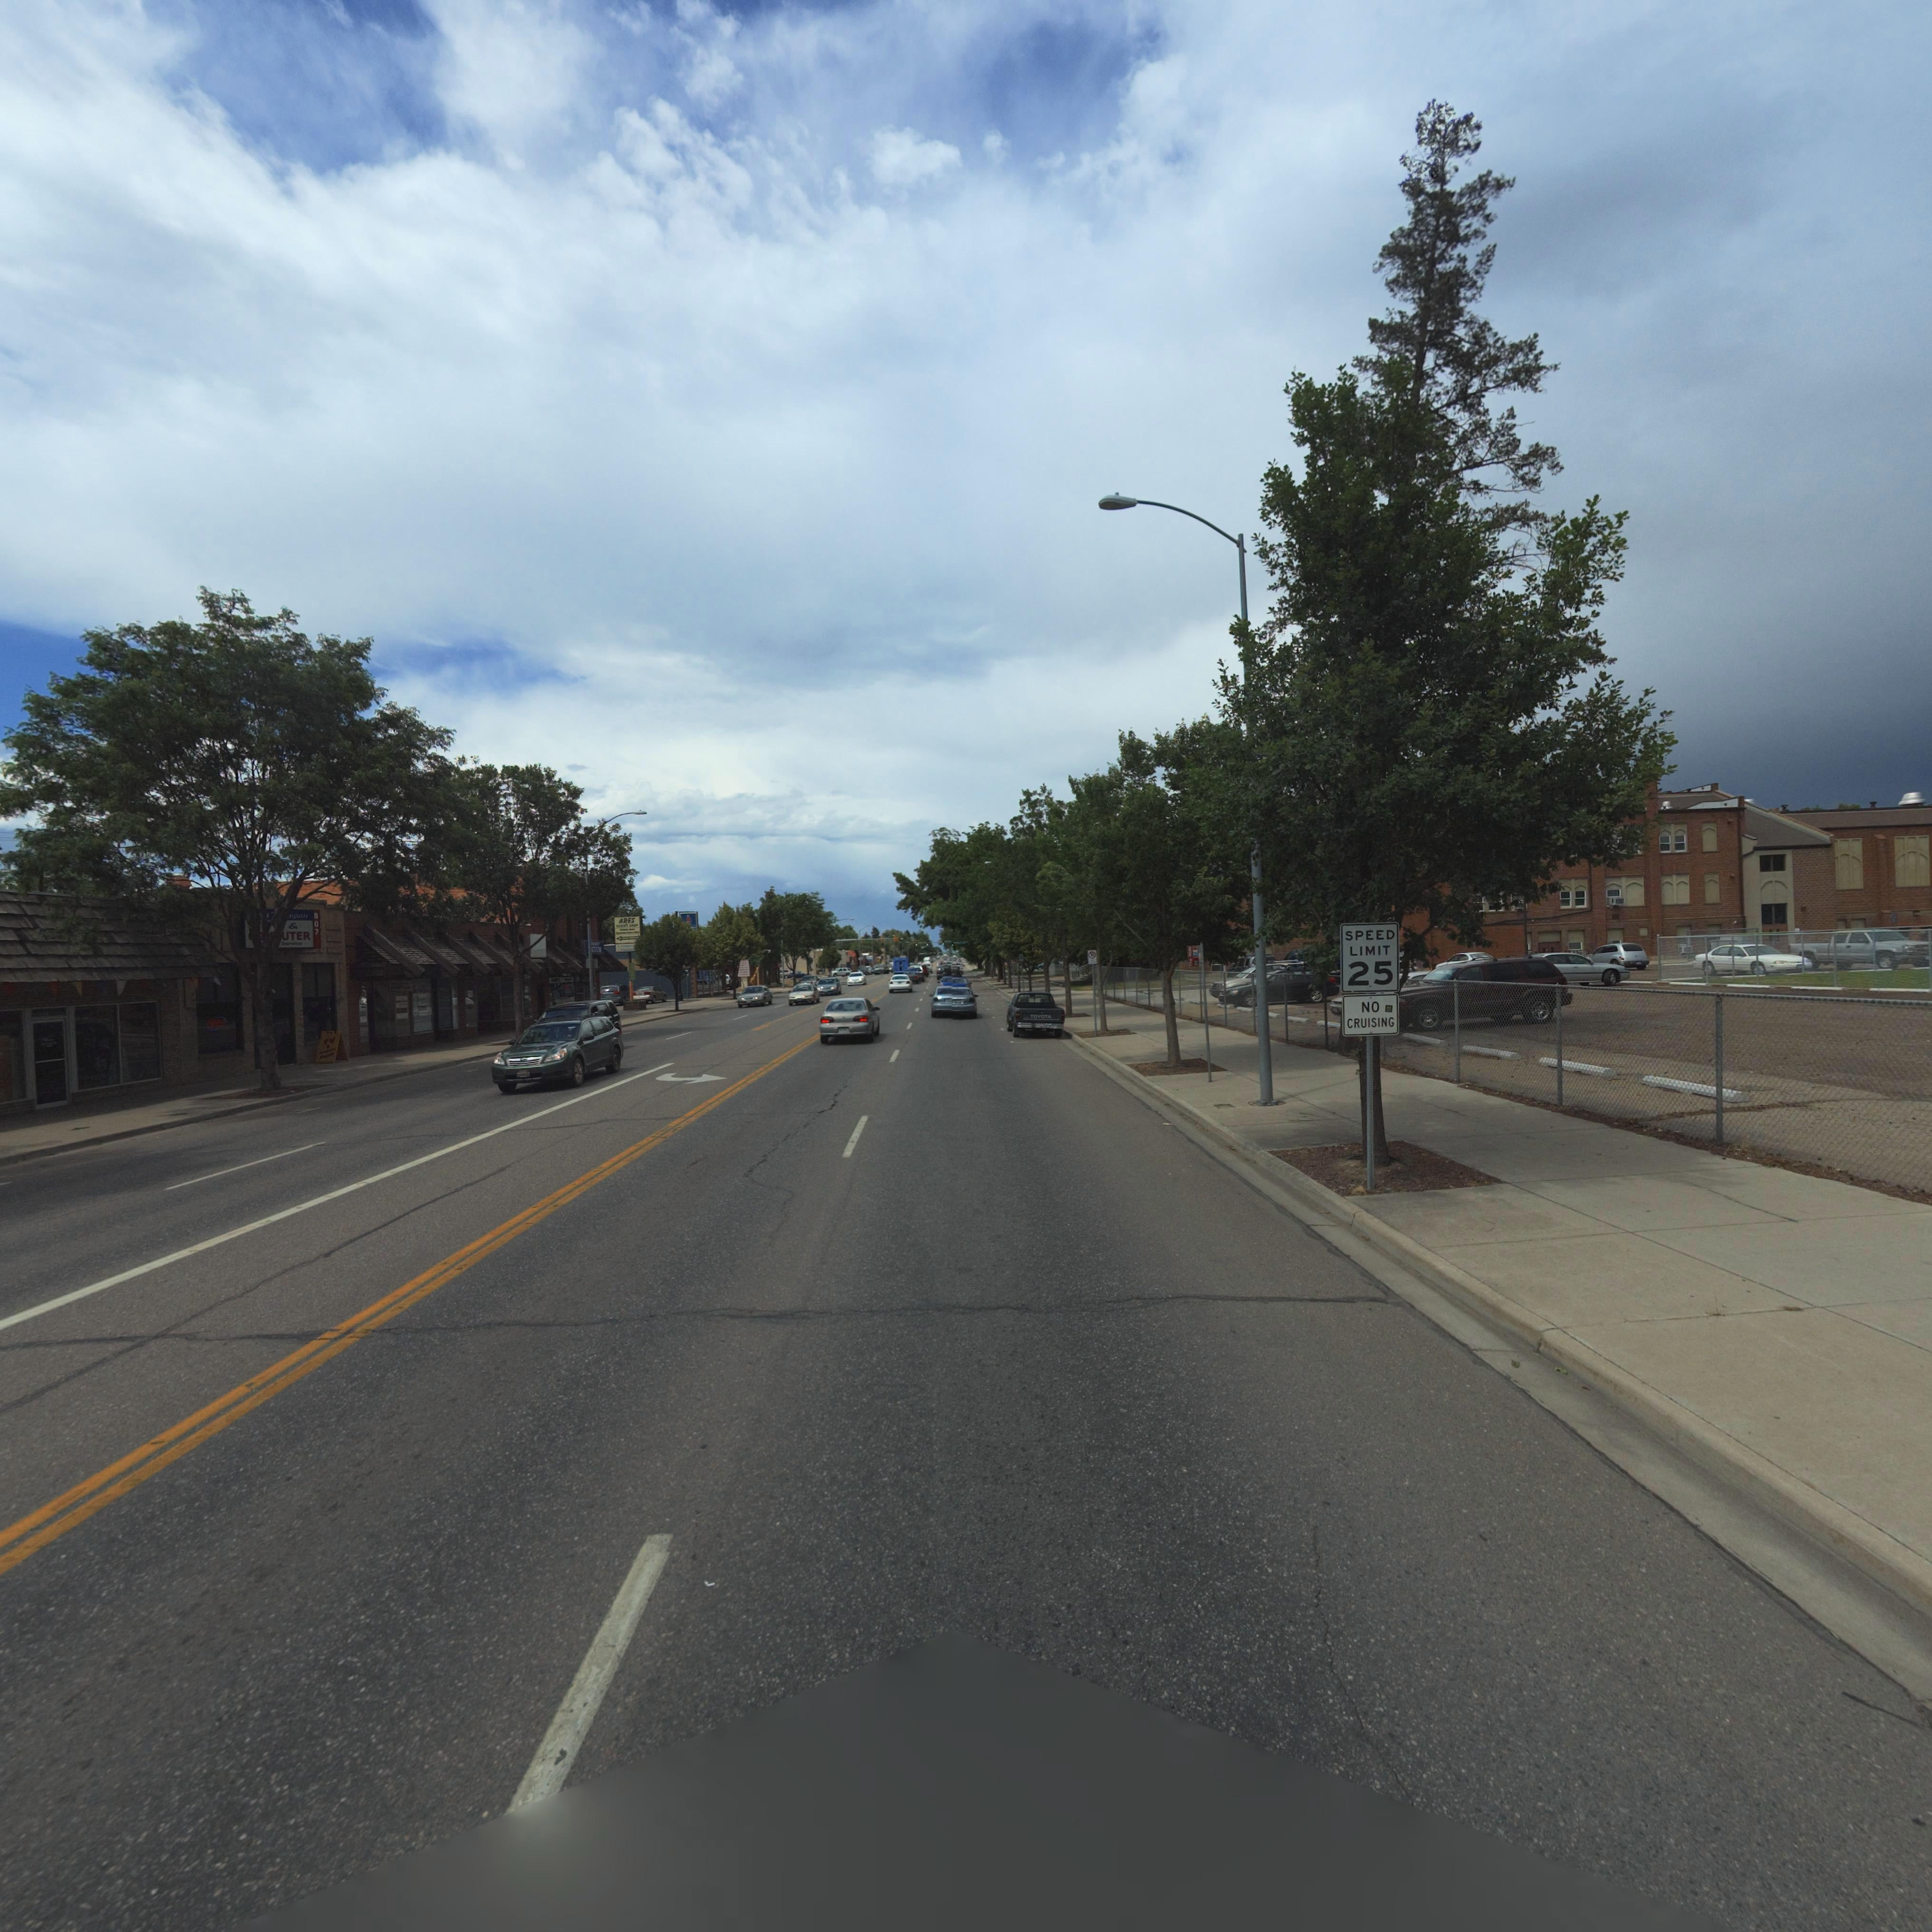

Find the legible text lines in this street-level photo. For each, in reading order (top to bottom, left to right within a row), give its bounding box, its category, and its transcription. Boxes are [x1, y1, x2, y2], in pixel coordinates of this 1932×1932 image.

[289, 912, 309, 919] BusinessName: epair
[314, 912, 319, 935] StreetNumber: 807
[618, 917, 635, 923] BusinessName: ARES
[282, 931, 310, 940] BusinessName: UTER
[281, 941, 302, 946] StreetNumber: Service